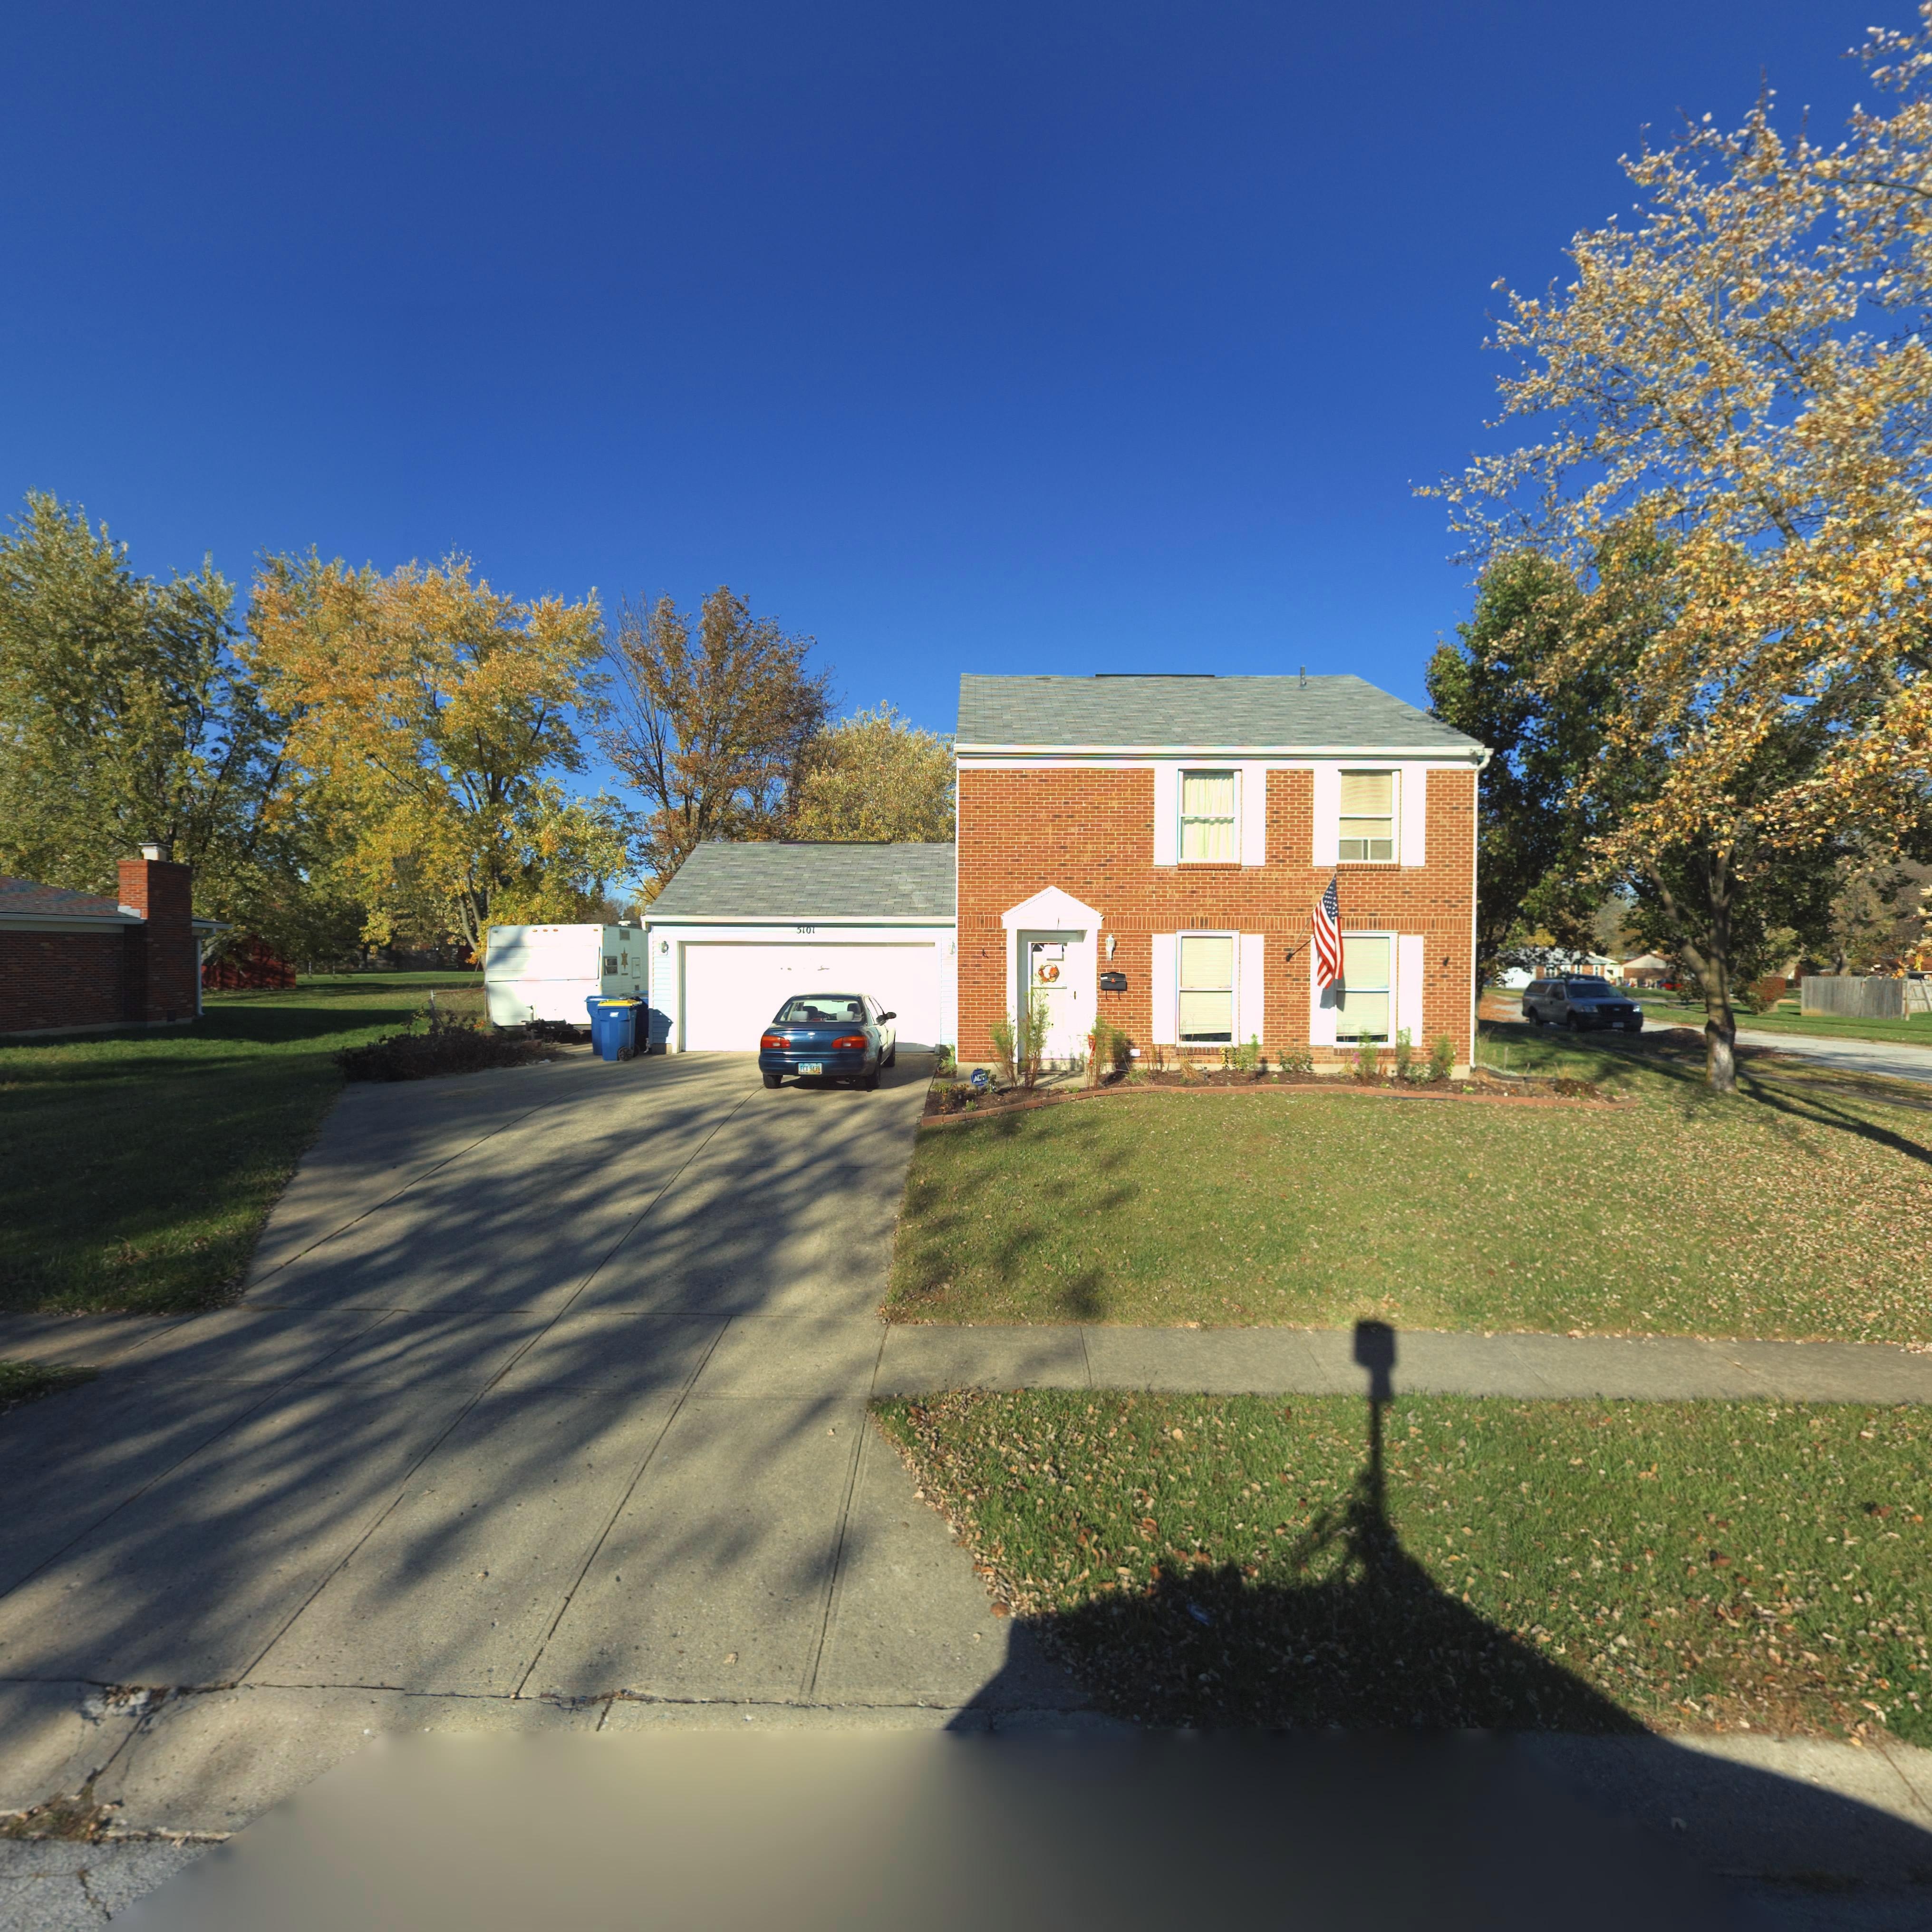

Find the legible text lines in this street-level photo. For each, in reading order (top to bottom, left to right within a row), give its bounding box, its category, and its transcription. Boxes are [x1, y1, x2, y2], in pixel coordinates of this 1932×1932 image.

[796, 926, 815, 934] StreetNumber: 5101